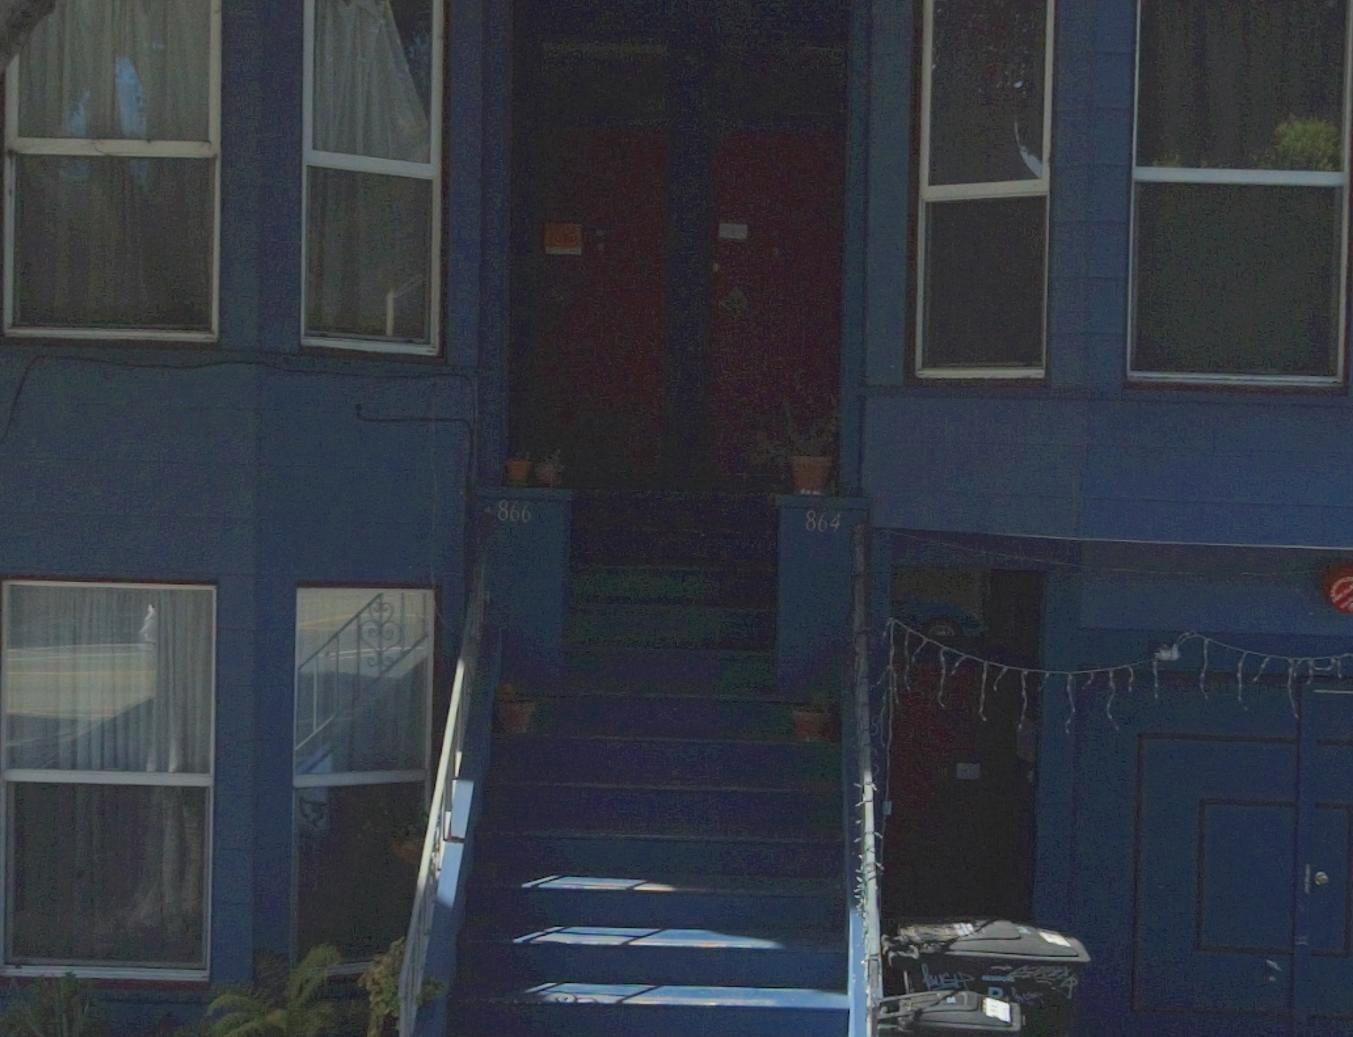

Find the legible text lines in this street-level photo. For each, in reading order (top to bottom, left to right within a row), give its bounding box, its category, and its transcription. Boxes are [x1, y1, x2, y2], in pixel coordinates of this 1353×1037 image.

[497, 500, 532, 523] StreetNumber: 866
[805, 510, 842, 534] StreetNumber: 864